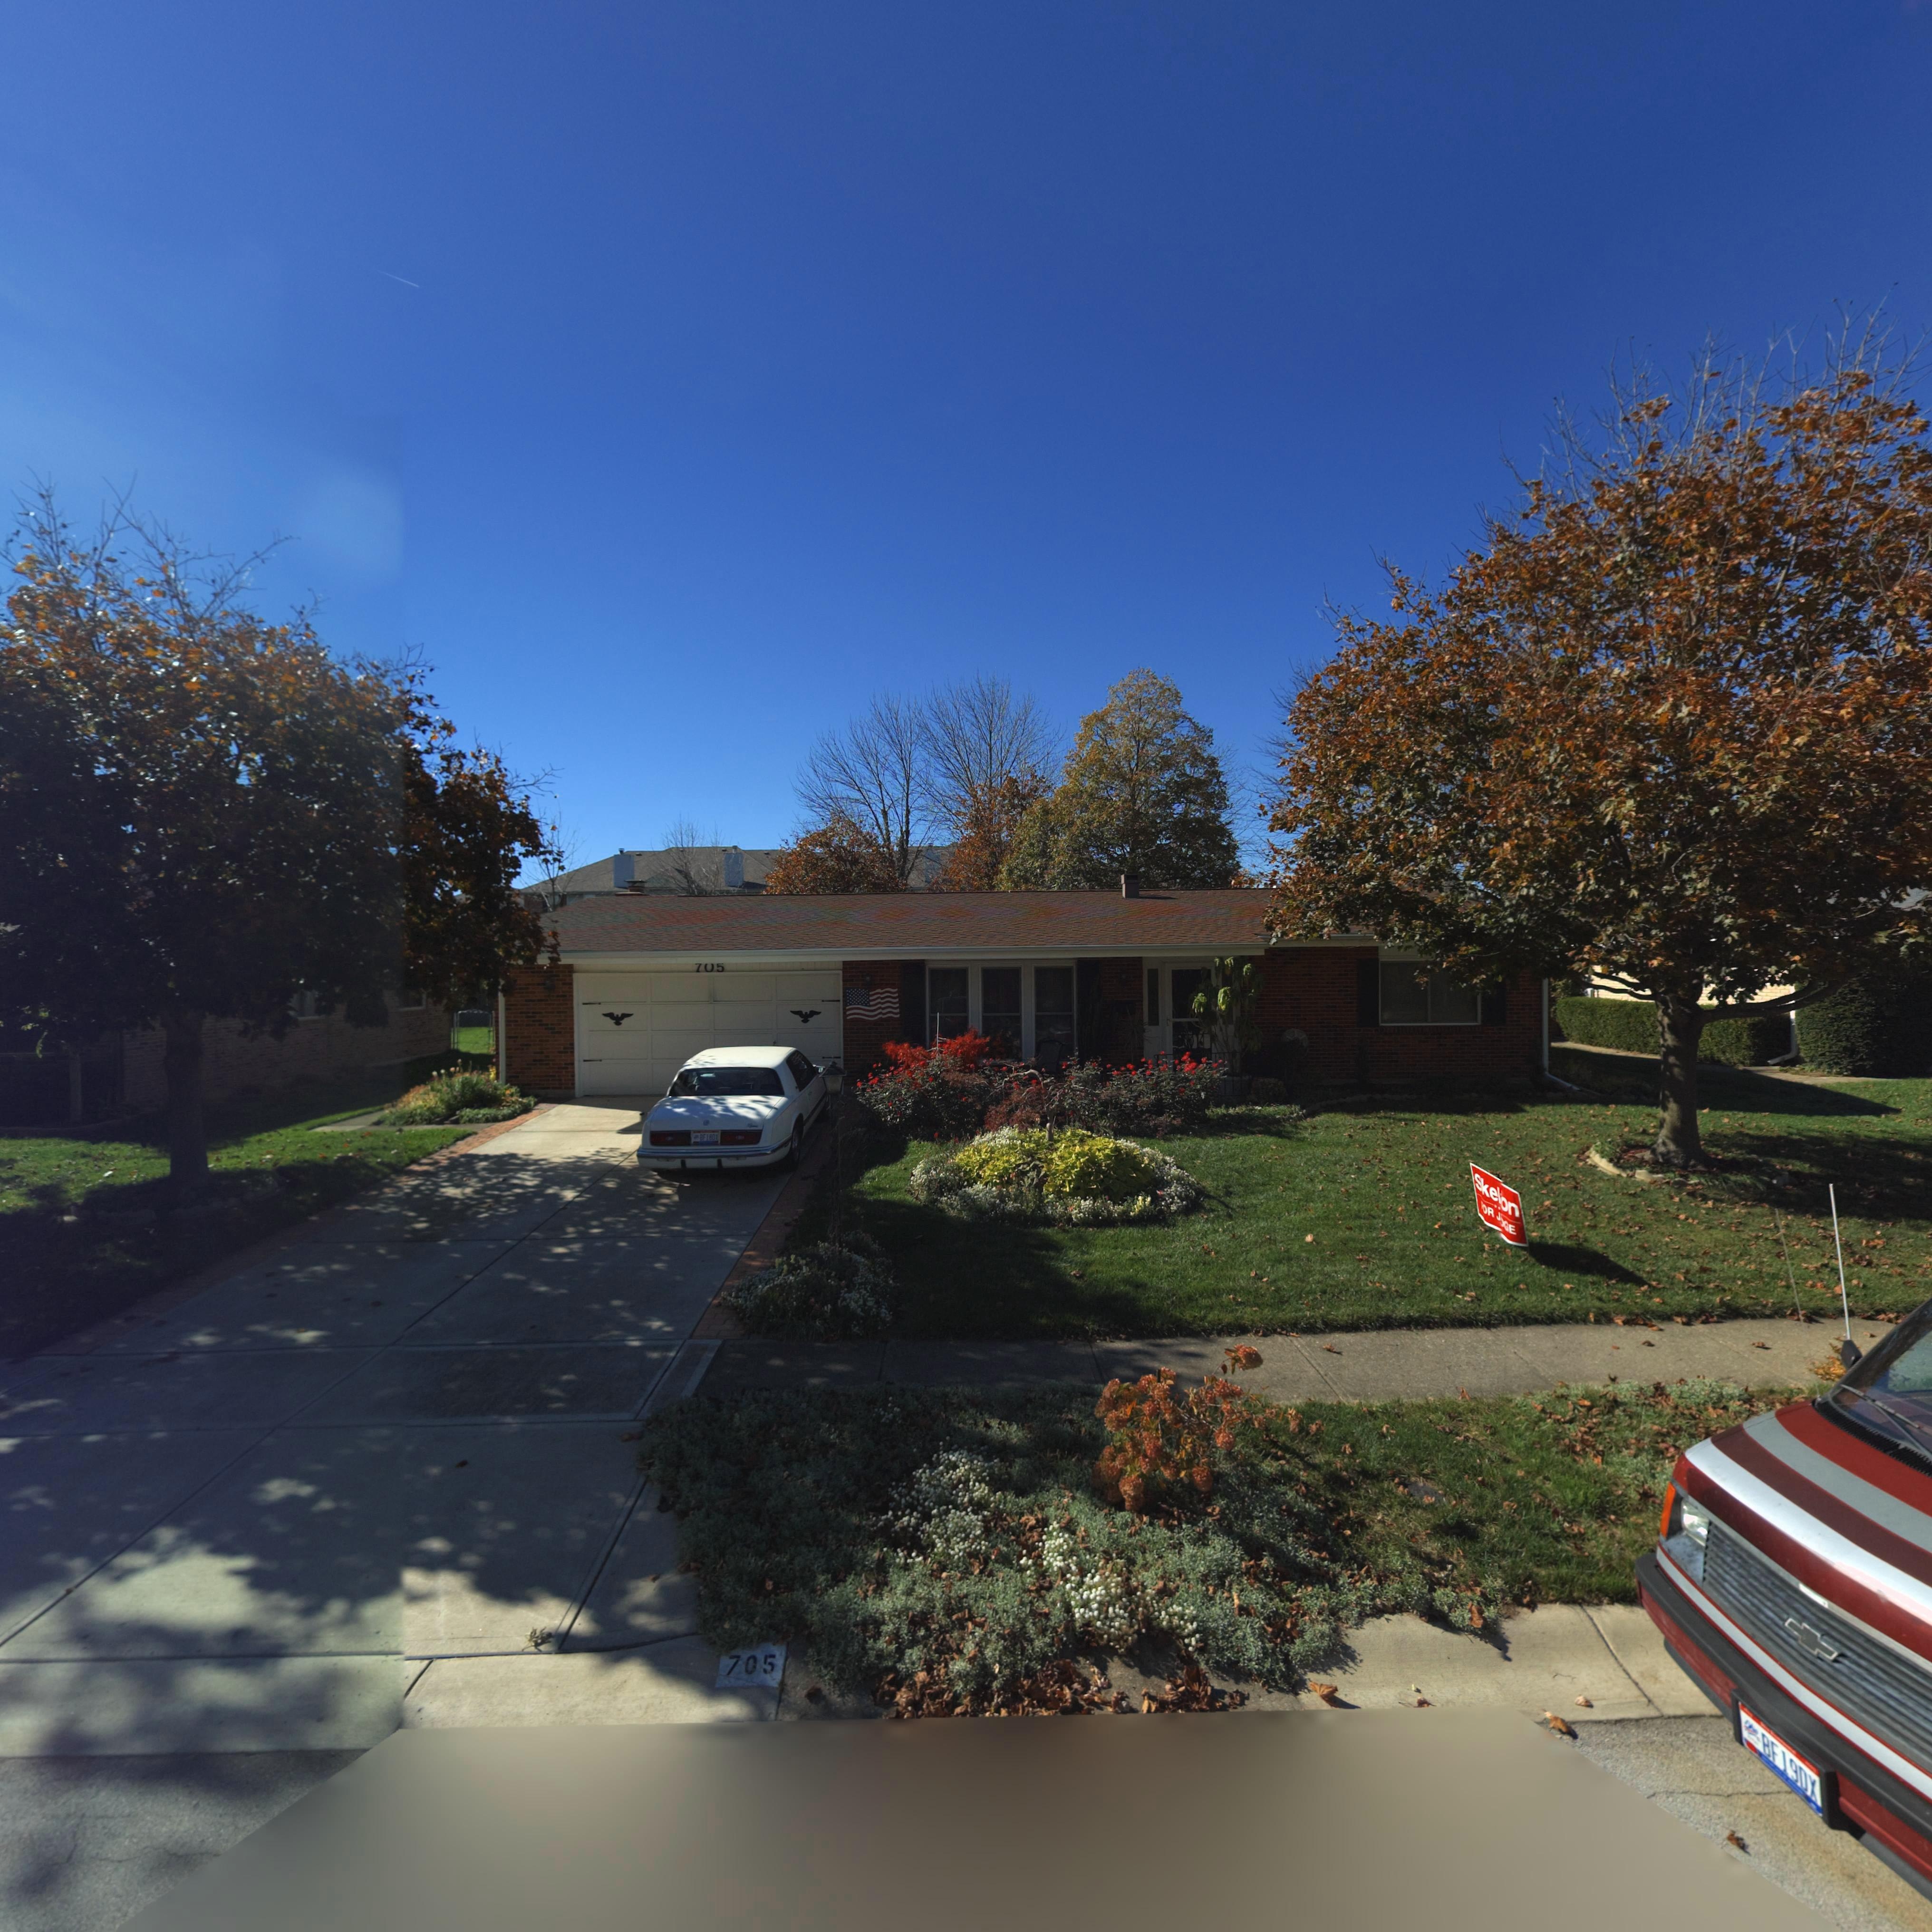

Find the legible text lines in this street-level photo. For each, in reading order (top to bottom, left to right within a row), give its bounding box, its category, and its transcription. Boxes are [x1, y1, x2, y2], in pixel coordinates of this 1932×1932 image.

[695, 963, 724, 973] StreetNumber: 705
[725, 1653, 776, 1676] StreetNumber: 705